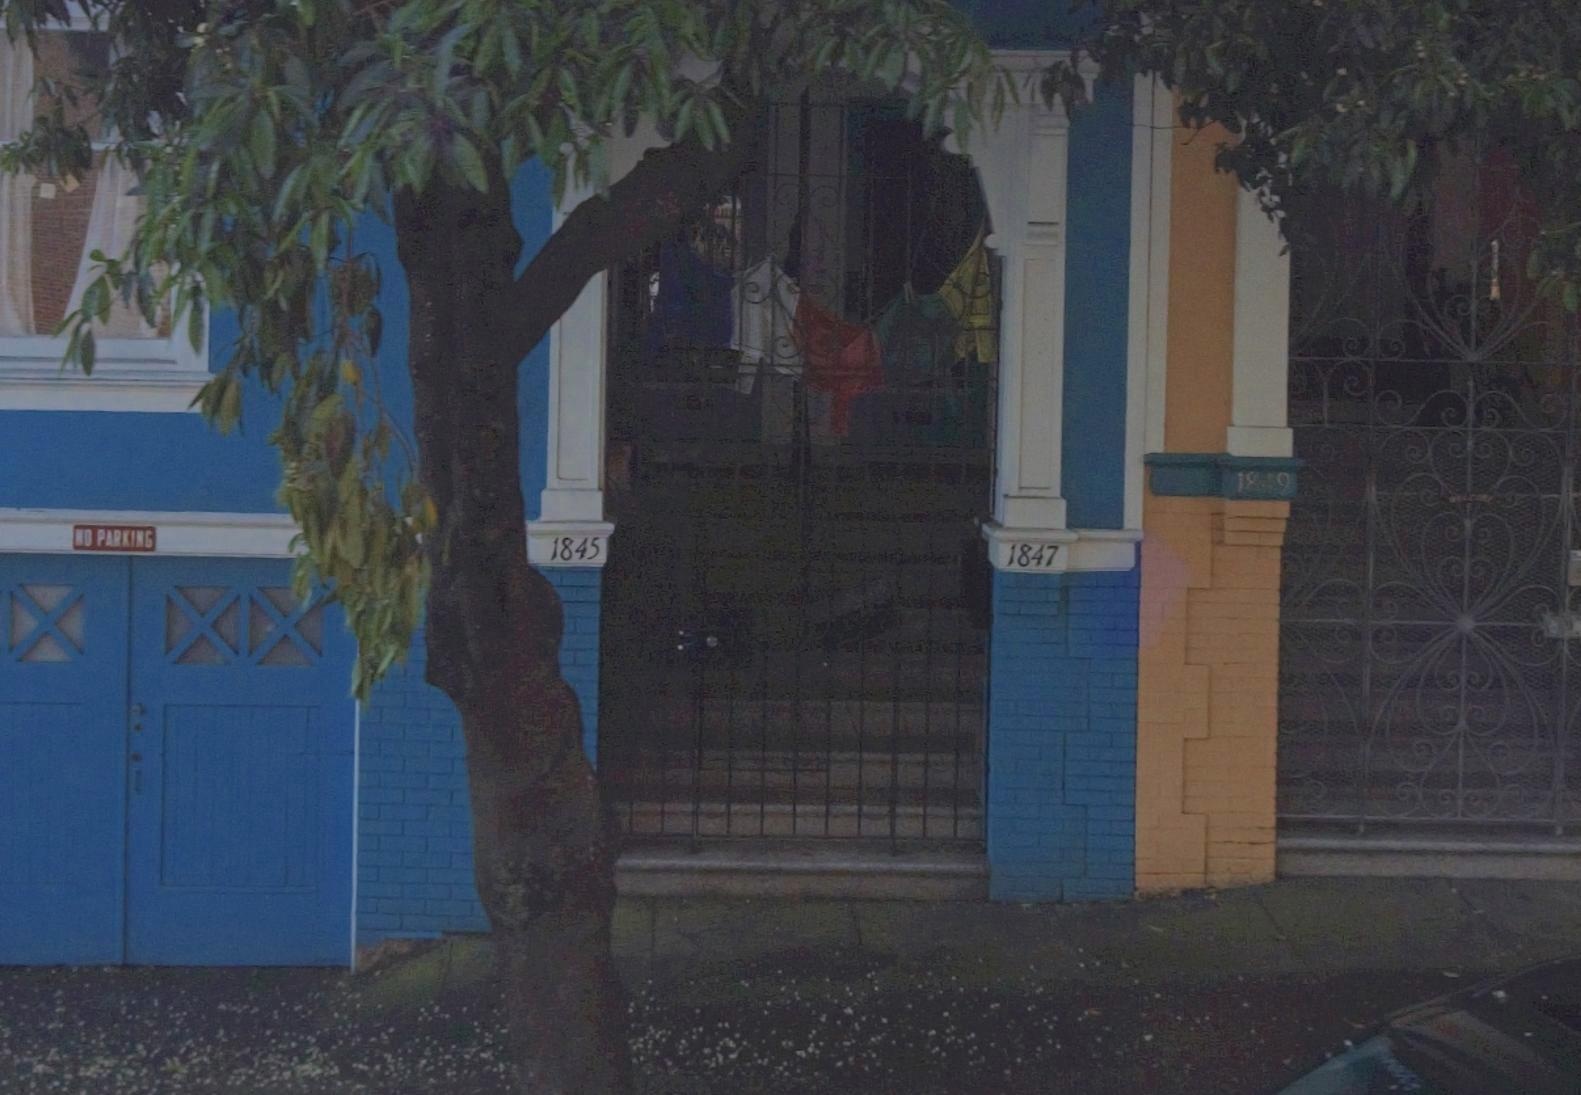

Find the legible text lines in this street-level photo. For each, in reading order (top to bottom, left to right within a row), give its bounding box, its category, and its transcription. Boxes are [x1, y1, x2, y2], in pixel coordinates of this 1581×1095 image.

[1233, 468, 1295, 498] StreetNumber: 1***
[72, 526, 156, 550] None: NO PARKING
[547, 533, 603, 564] StreetNumber: 1845
[1005, 541, 1063, 569] StreetNumber: 1847